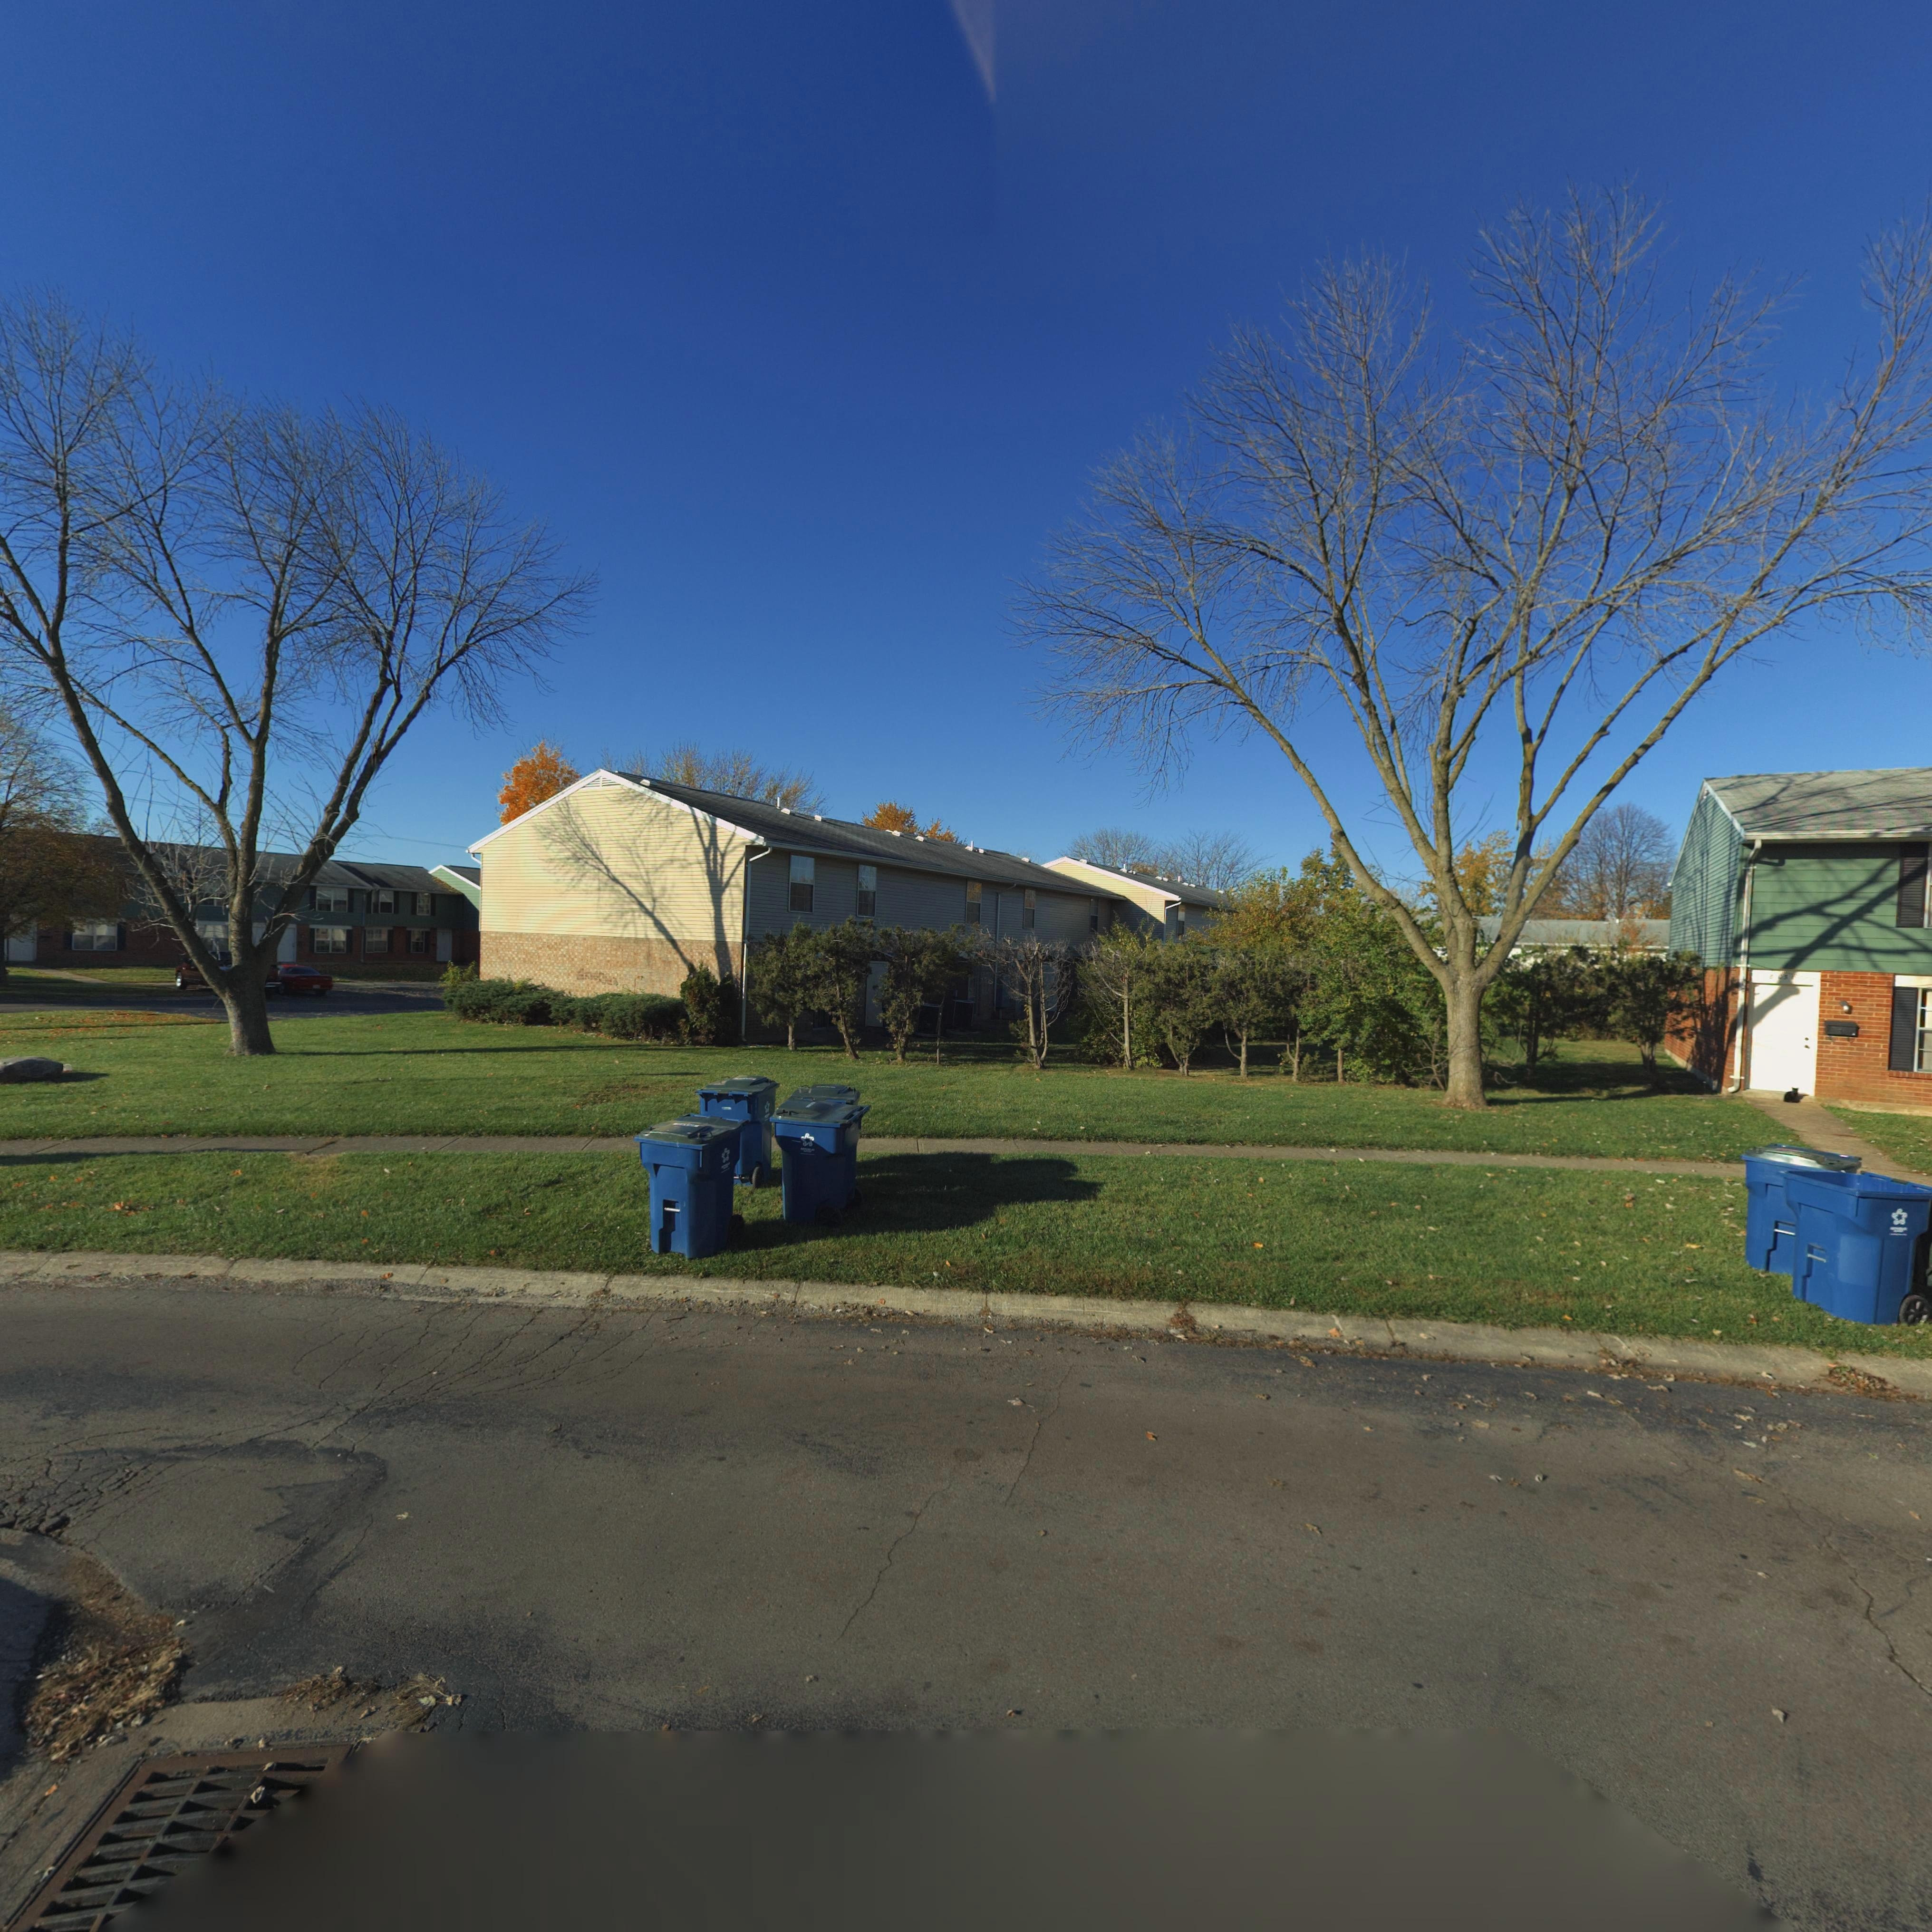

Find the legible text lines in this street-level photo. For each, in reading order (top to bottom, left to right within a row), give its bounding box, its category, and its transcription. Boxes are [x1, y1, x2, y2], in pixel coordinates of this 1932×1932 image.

[1768, 973, 1799, 981] StreetNumber: **0**